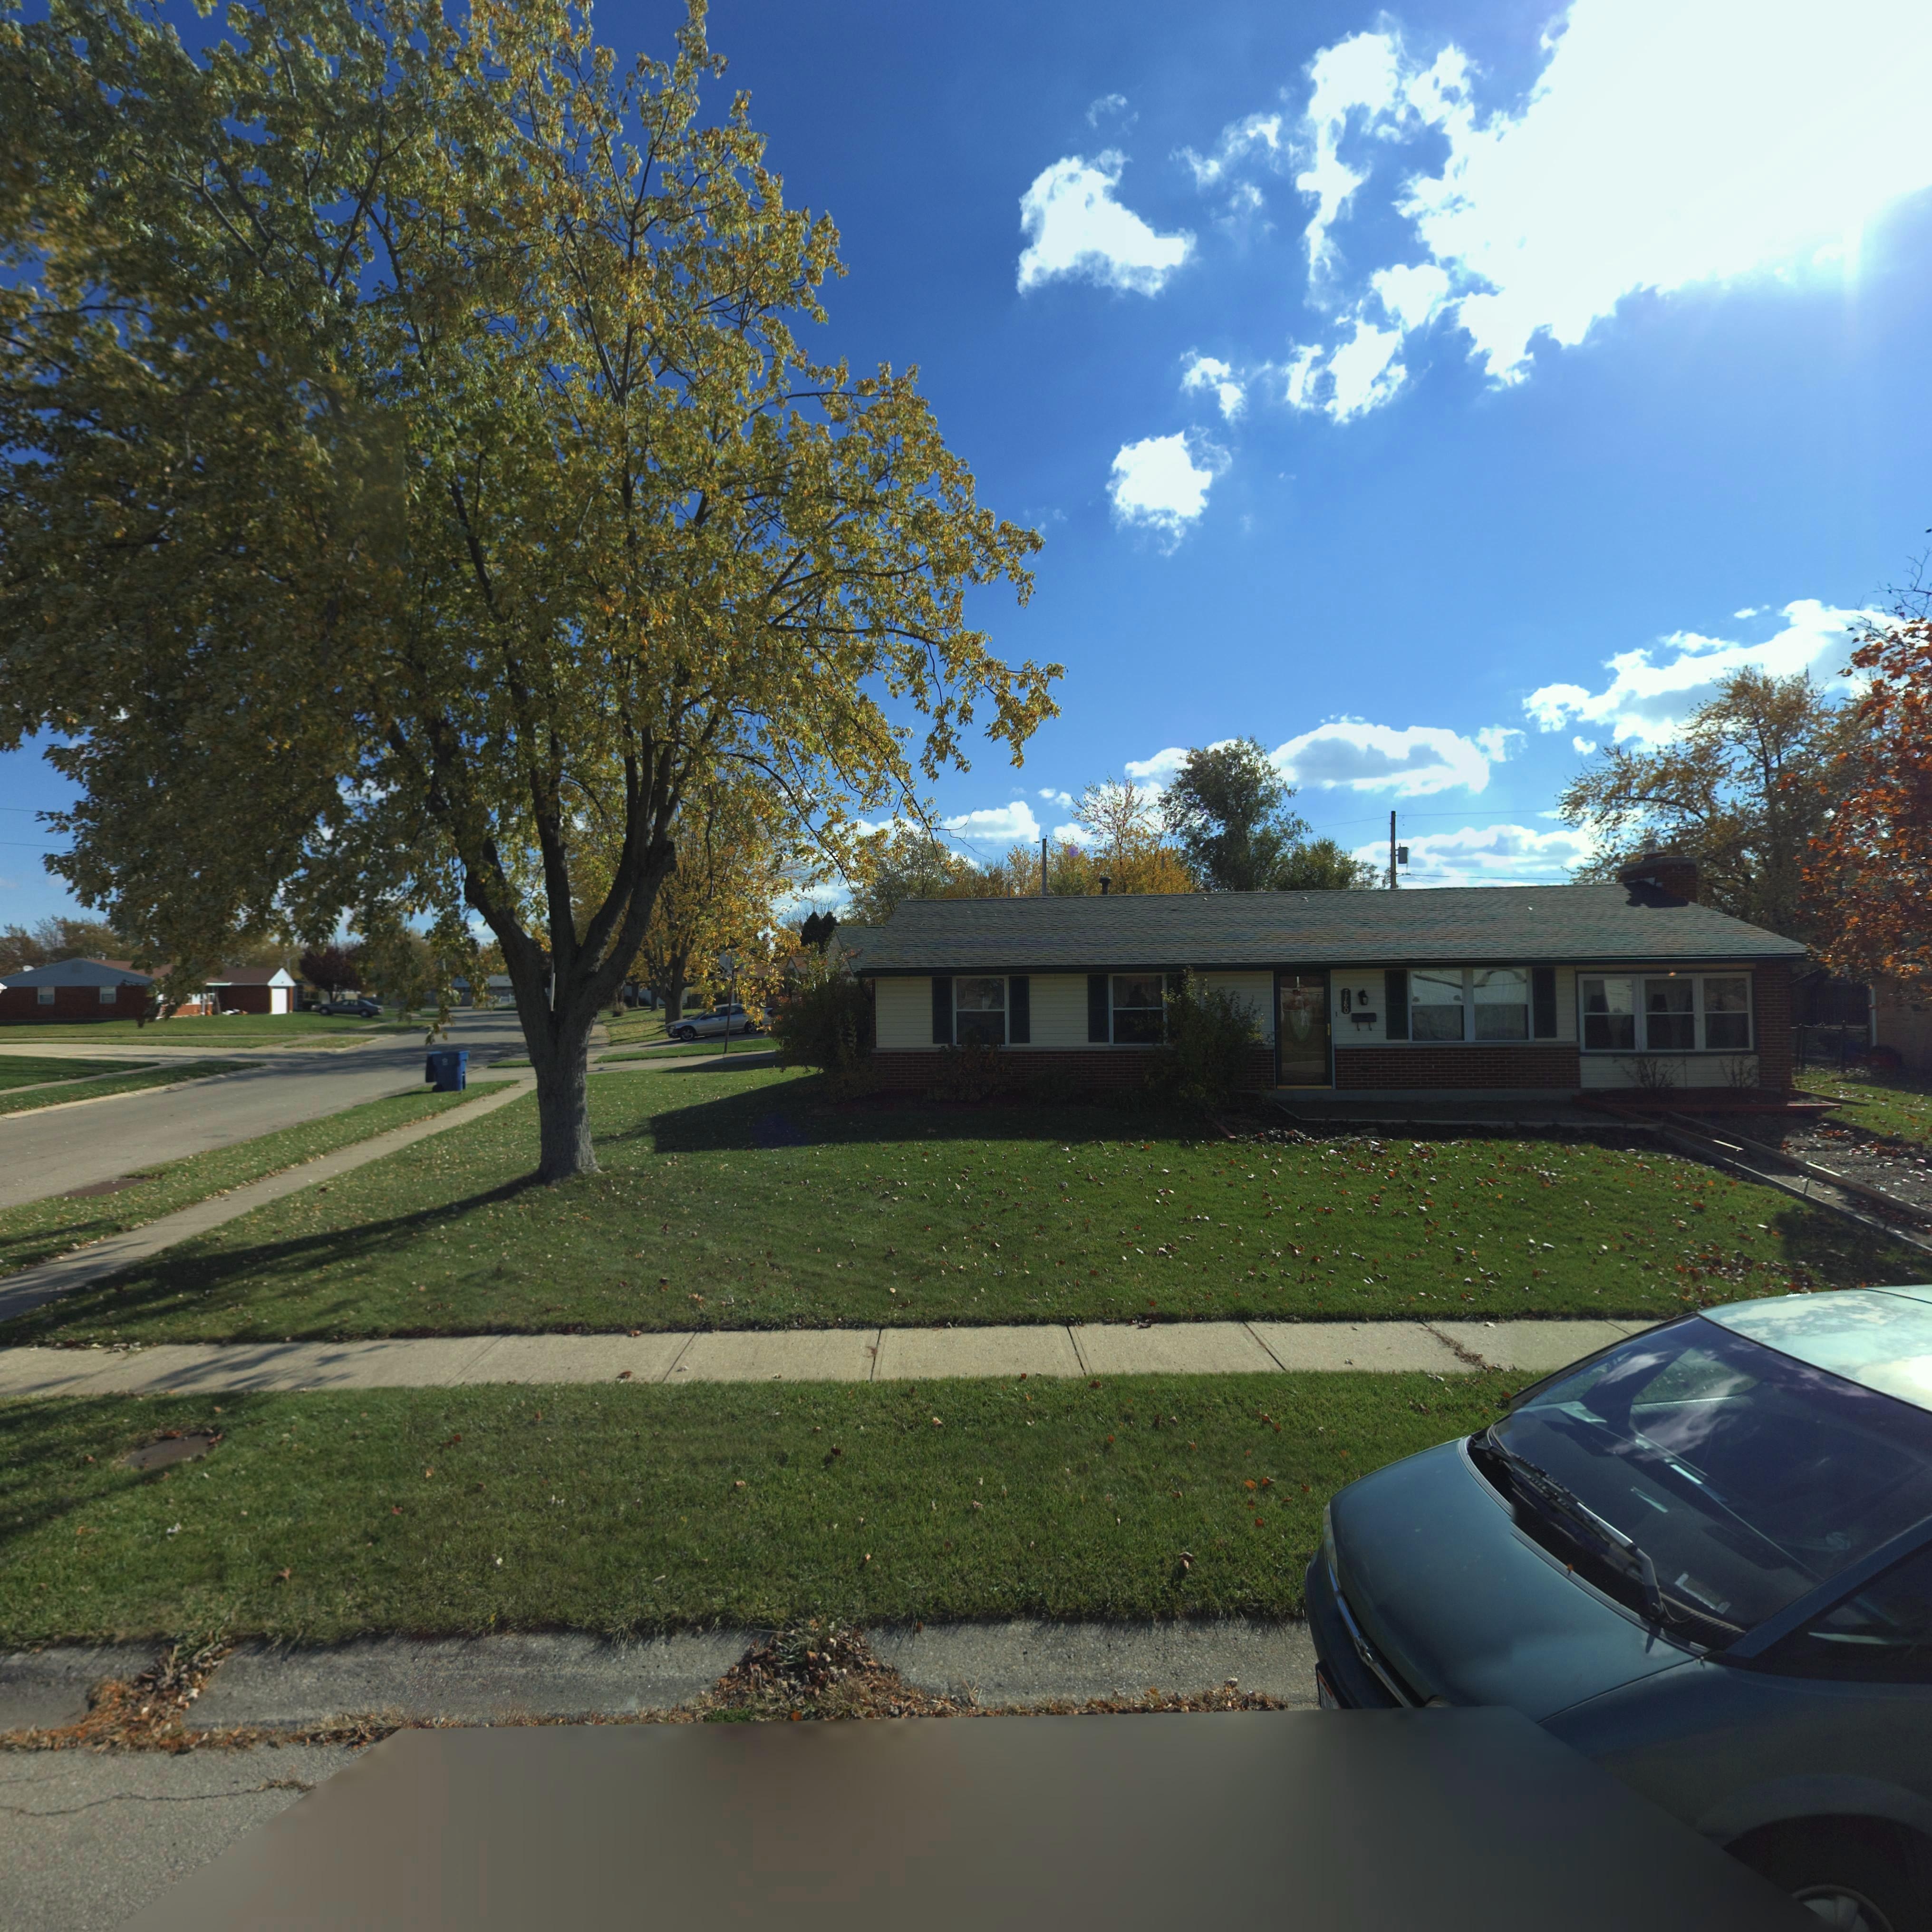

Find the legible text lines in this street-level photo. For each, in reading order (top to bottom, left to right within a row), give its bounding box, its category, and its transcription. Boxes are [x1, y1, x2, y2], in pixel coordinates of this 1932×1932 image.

[1343, 989, 1349, 1014] StreetNumber: 7780